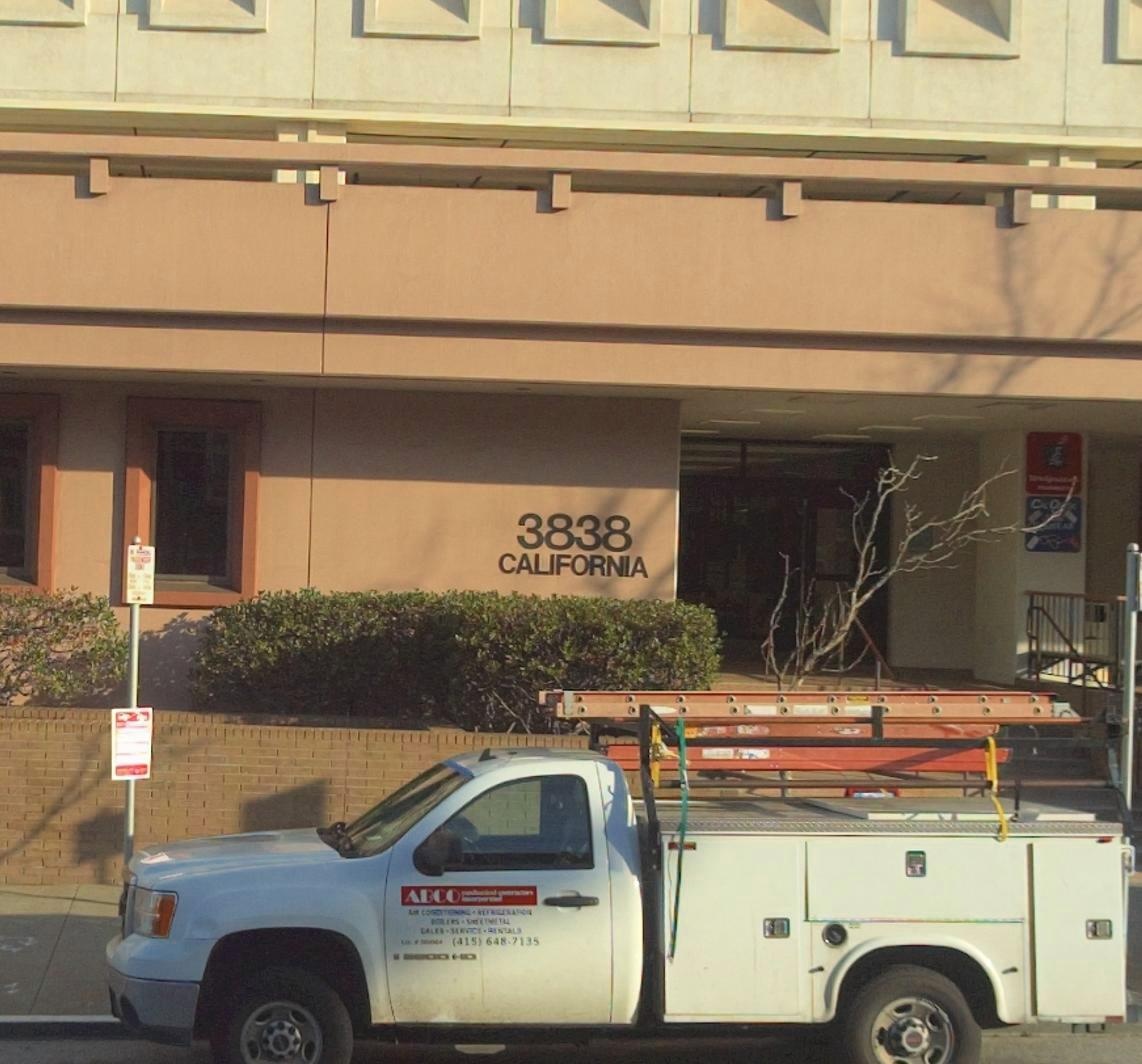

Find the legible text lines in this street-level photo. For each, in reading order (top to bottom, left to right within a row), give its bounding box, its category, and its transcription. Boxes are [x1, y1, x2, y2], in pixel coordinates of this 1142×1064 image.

[514, 511, 635, 555] StreetNumber: 3838
[495, 550, 652, 581] StreetName: CALIFORNIA
[399, 886, 463, 907] None: ABC*
[449, 934, 543, 949] None: (415) 648*7135